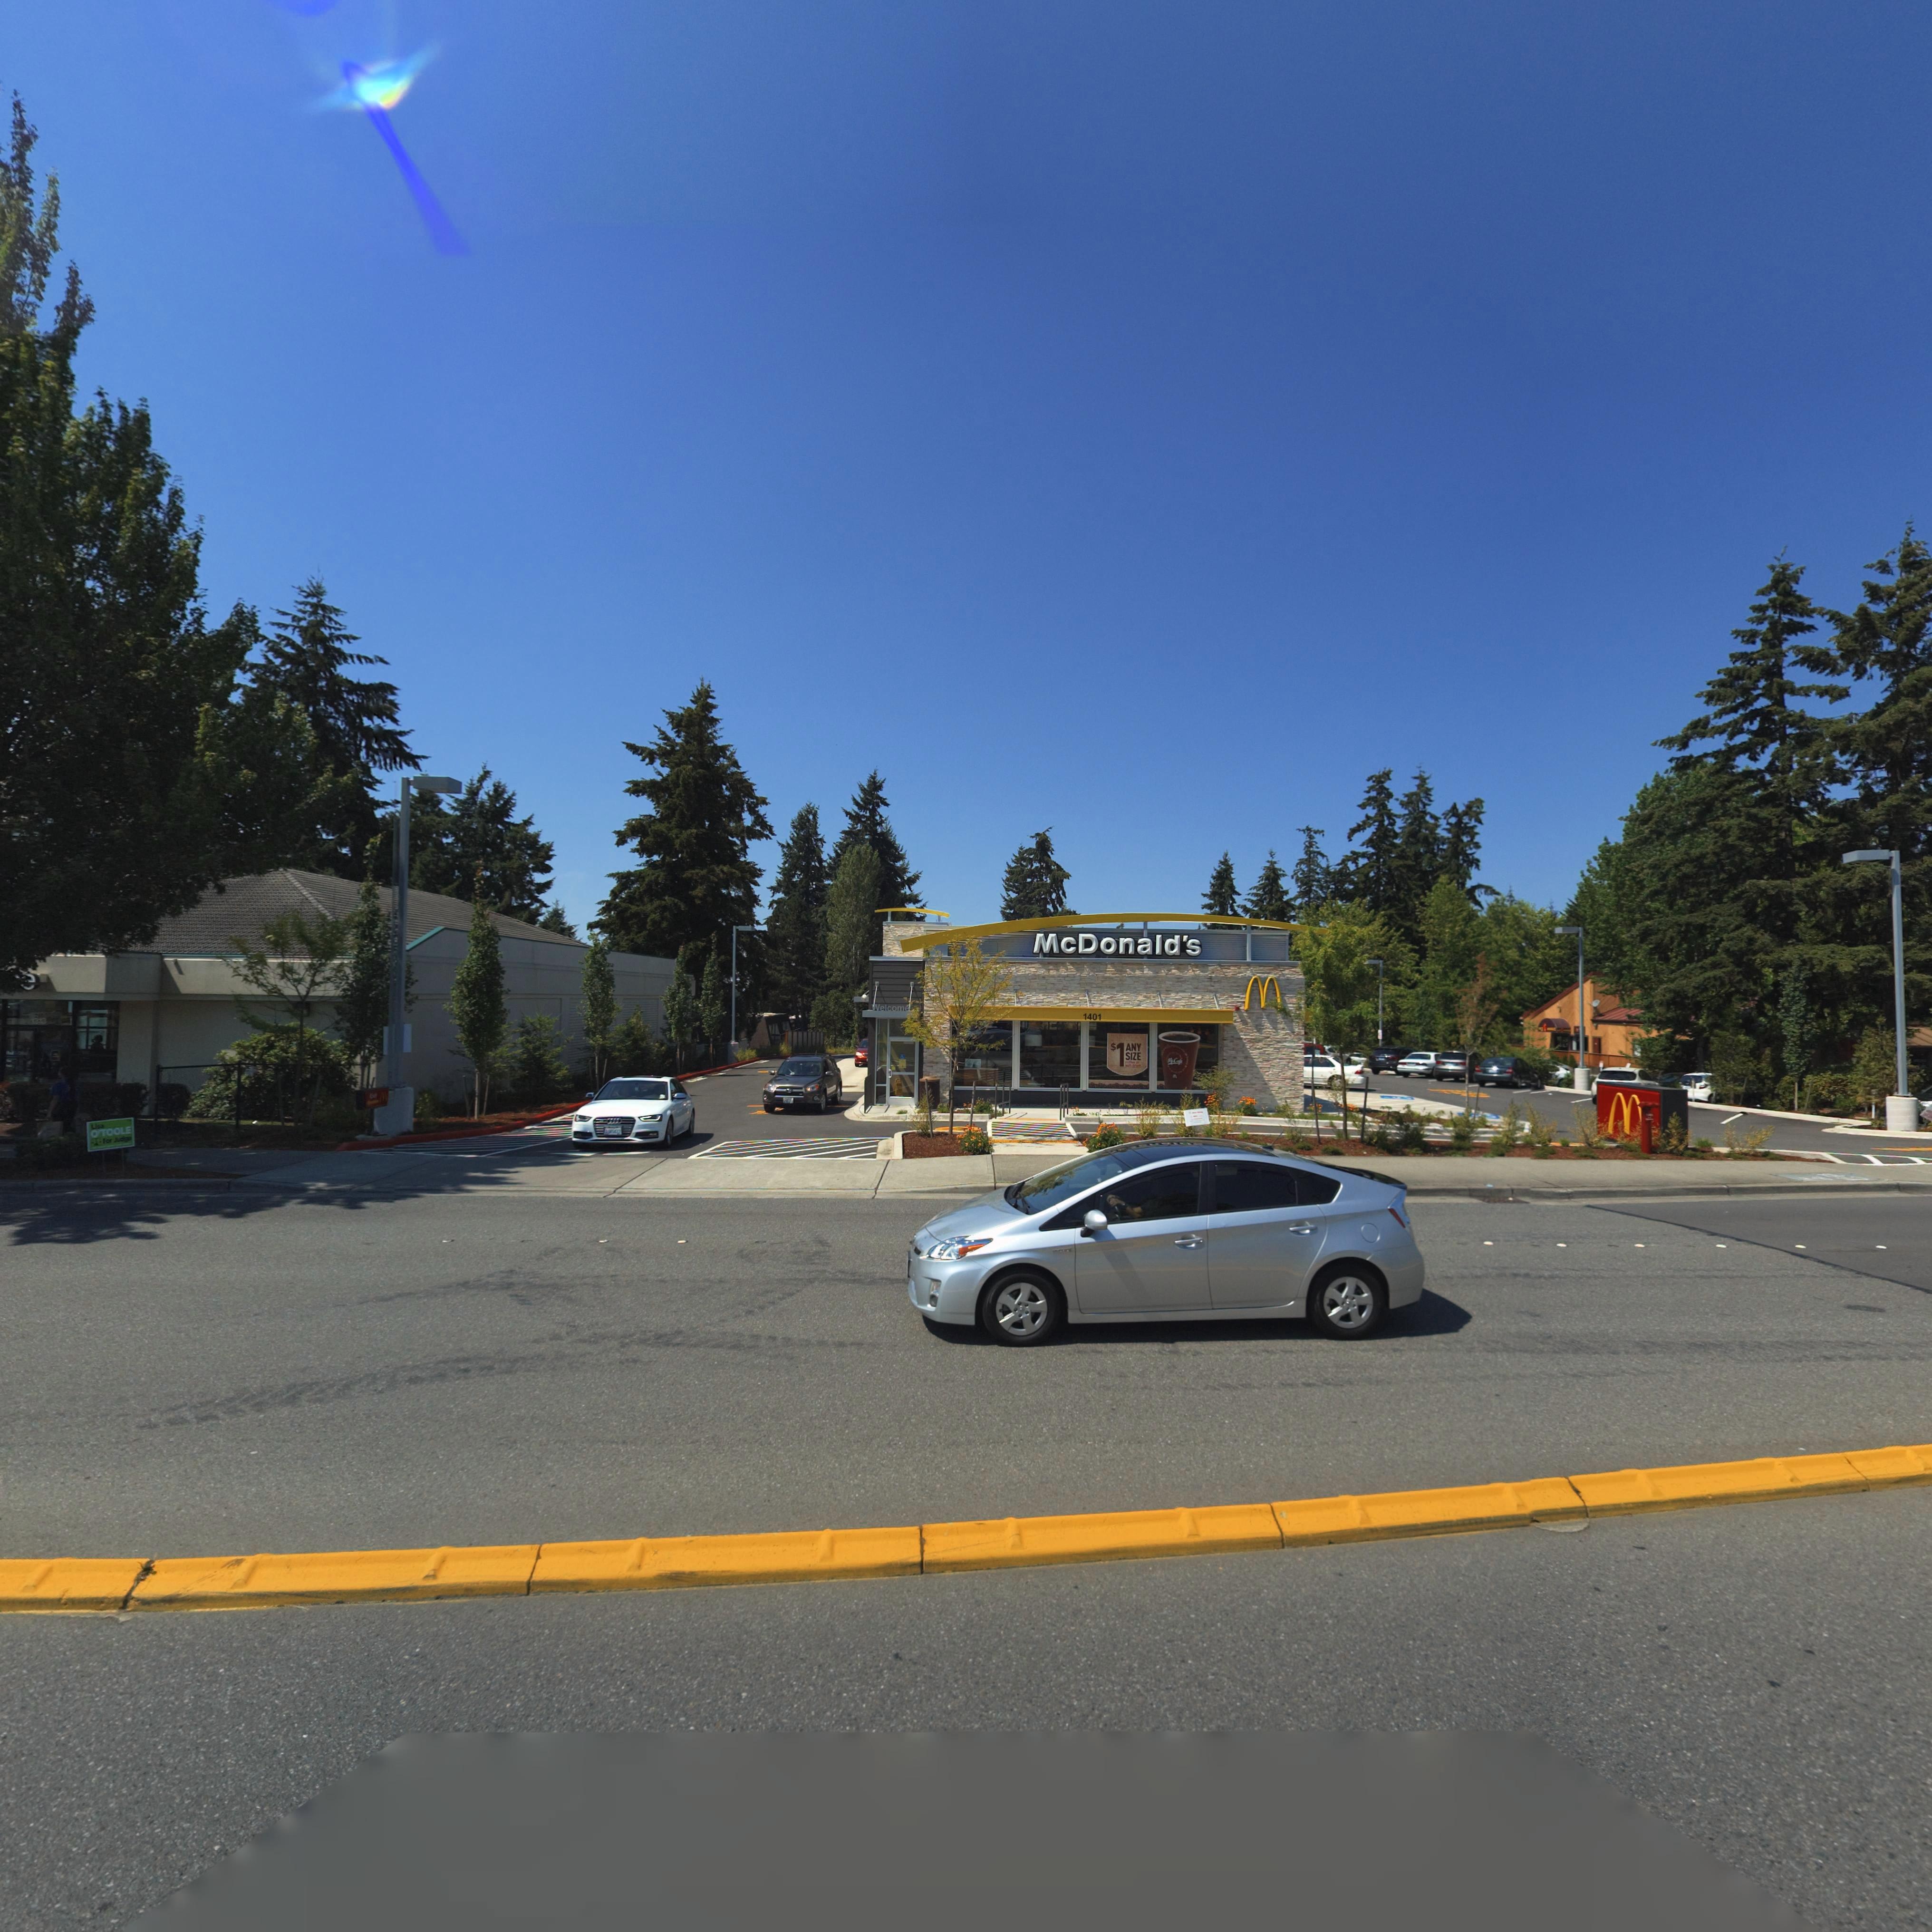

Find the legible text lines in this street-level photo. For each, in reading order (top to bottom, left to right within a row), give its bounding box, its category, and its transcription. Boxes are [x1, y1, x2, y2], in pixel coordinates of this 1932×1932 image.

[1033, 933, 1202, 956] BusinessName: McDonald's
[1082, 1012, 1102, 1021] StreetNumber: 1401